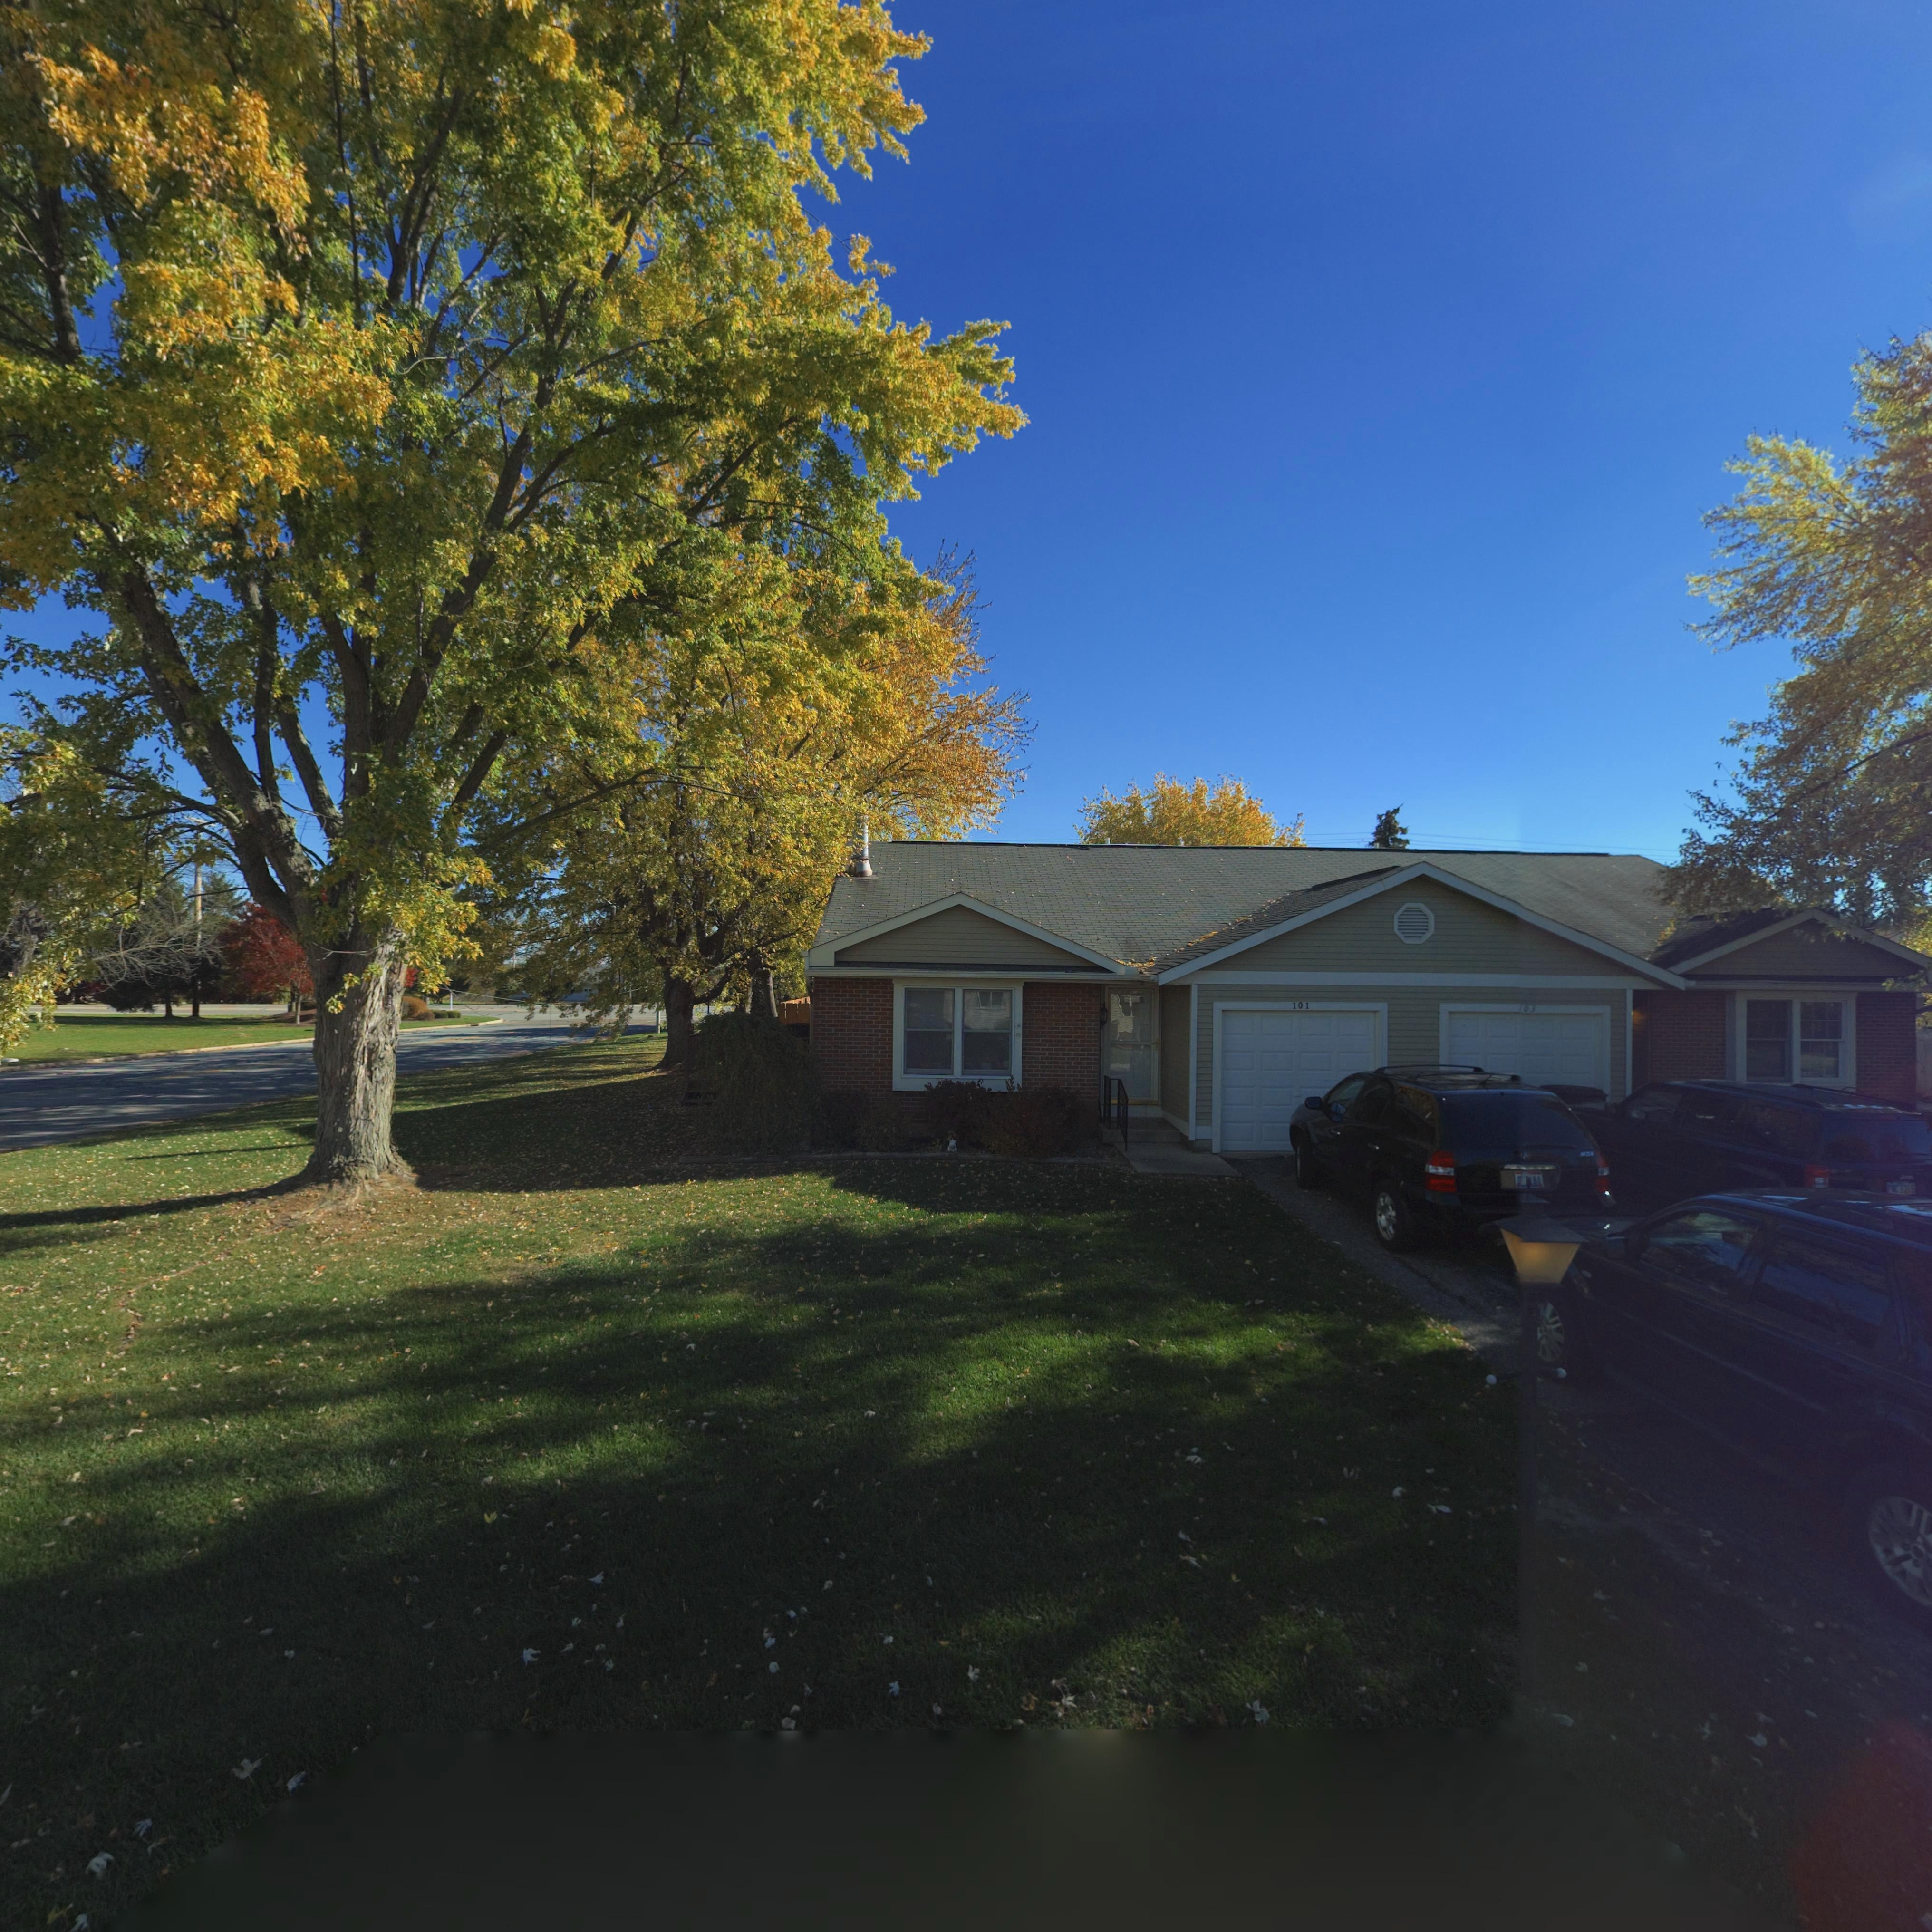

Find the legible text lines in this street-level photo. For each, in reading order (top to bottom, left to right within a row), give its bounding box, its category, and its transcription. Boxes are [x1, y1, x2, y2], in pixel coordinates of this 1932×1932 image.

[1292, 1001, 1311, 1010] StreetNumber: 101
[1518, 1003, 1536, 1014] StreetNumber: 103